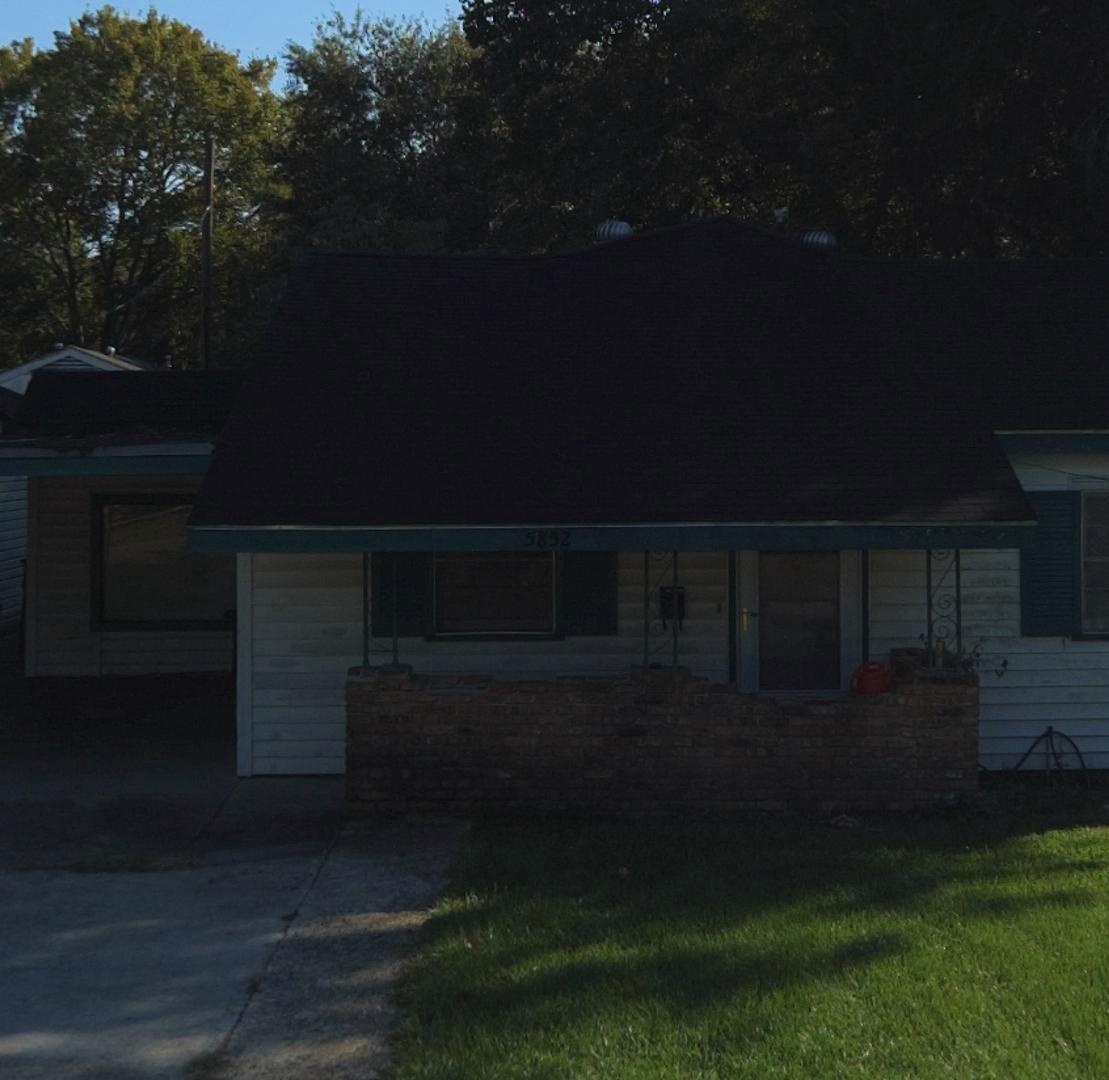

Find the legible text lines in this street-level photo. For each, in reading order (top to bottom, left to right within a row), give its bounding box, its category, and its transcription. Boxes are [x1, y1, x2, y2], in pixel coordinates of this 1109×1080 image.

[523, 529, 571, 548] StreetNumber: 5852